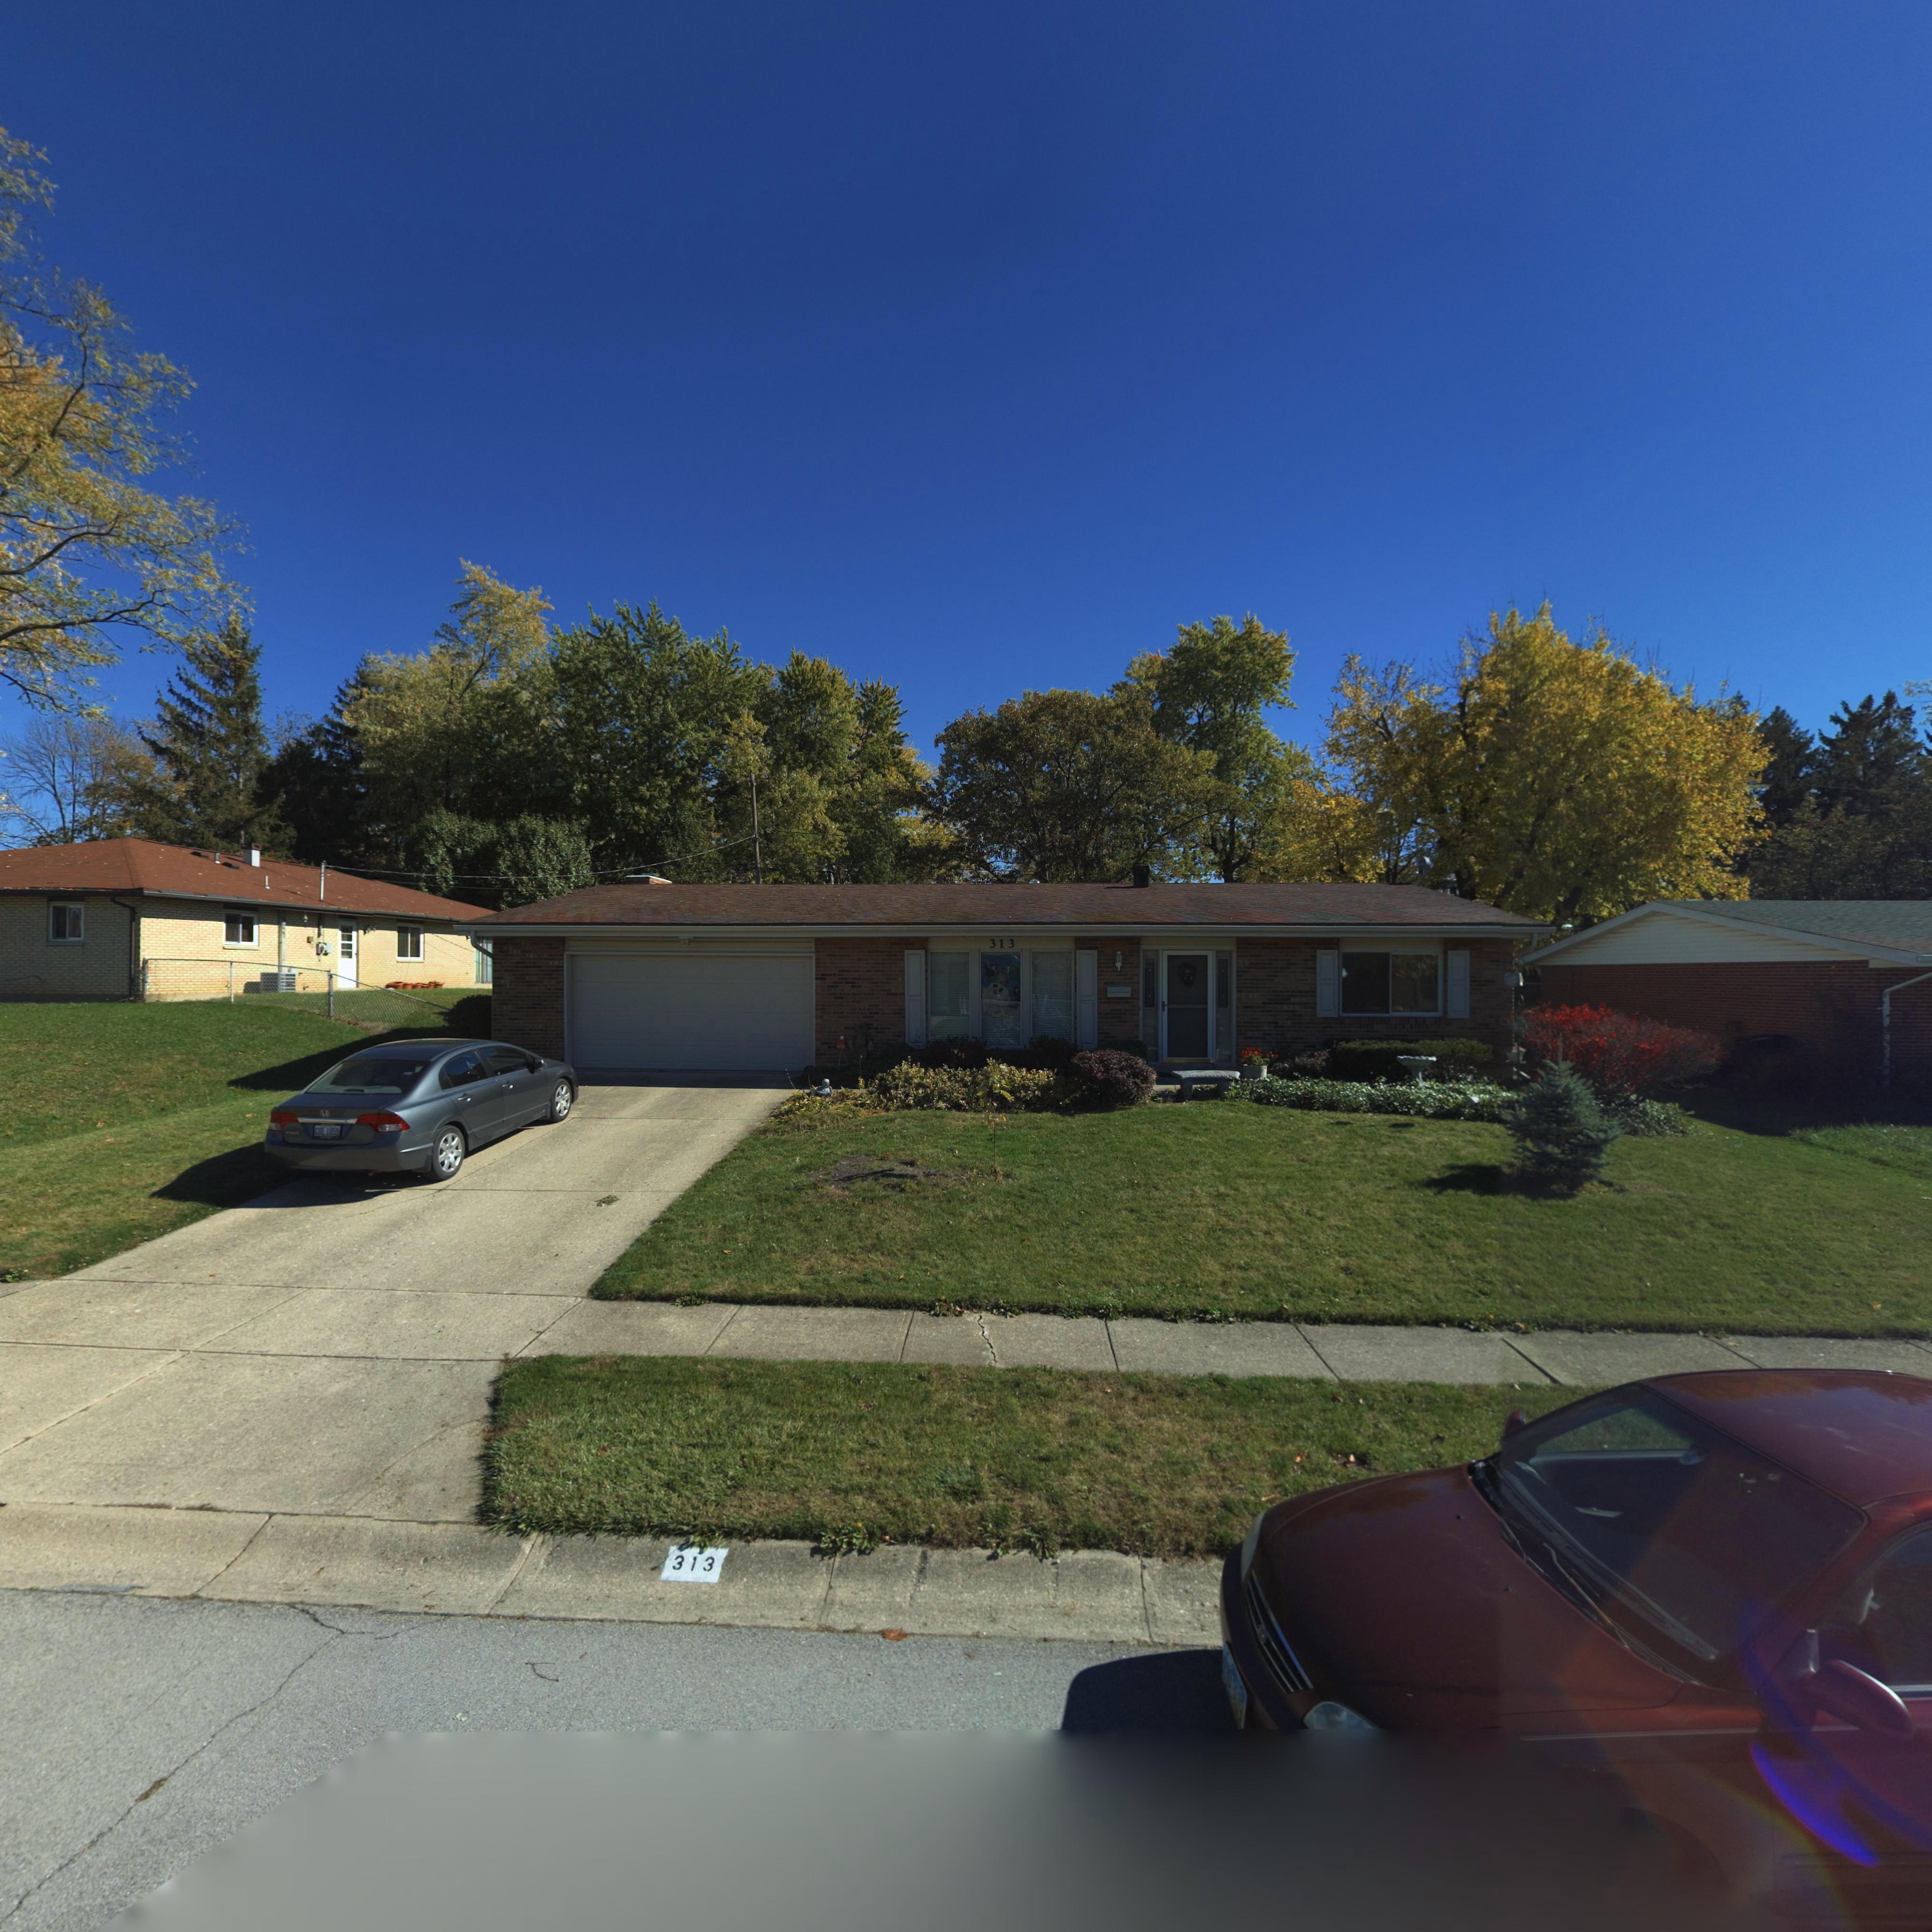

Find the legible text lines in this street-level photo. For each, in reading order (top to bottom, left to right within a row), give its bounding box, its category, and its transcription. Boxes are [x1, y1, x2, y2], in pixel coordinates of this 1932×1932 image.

[988, 938, 1015, 948] StreetNumber: 313
[671, 1554, 716, 1572] StreetNumber: 313